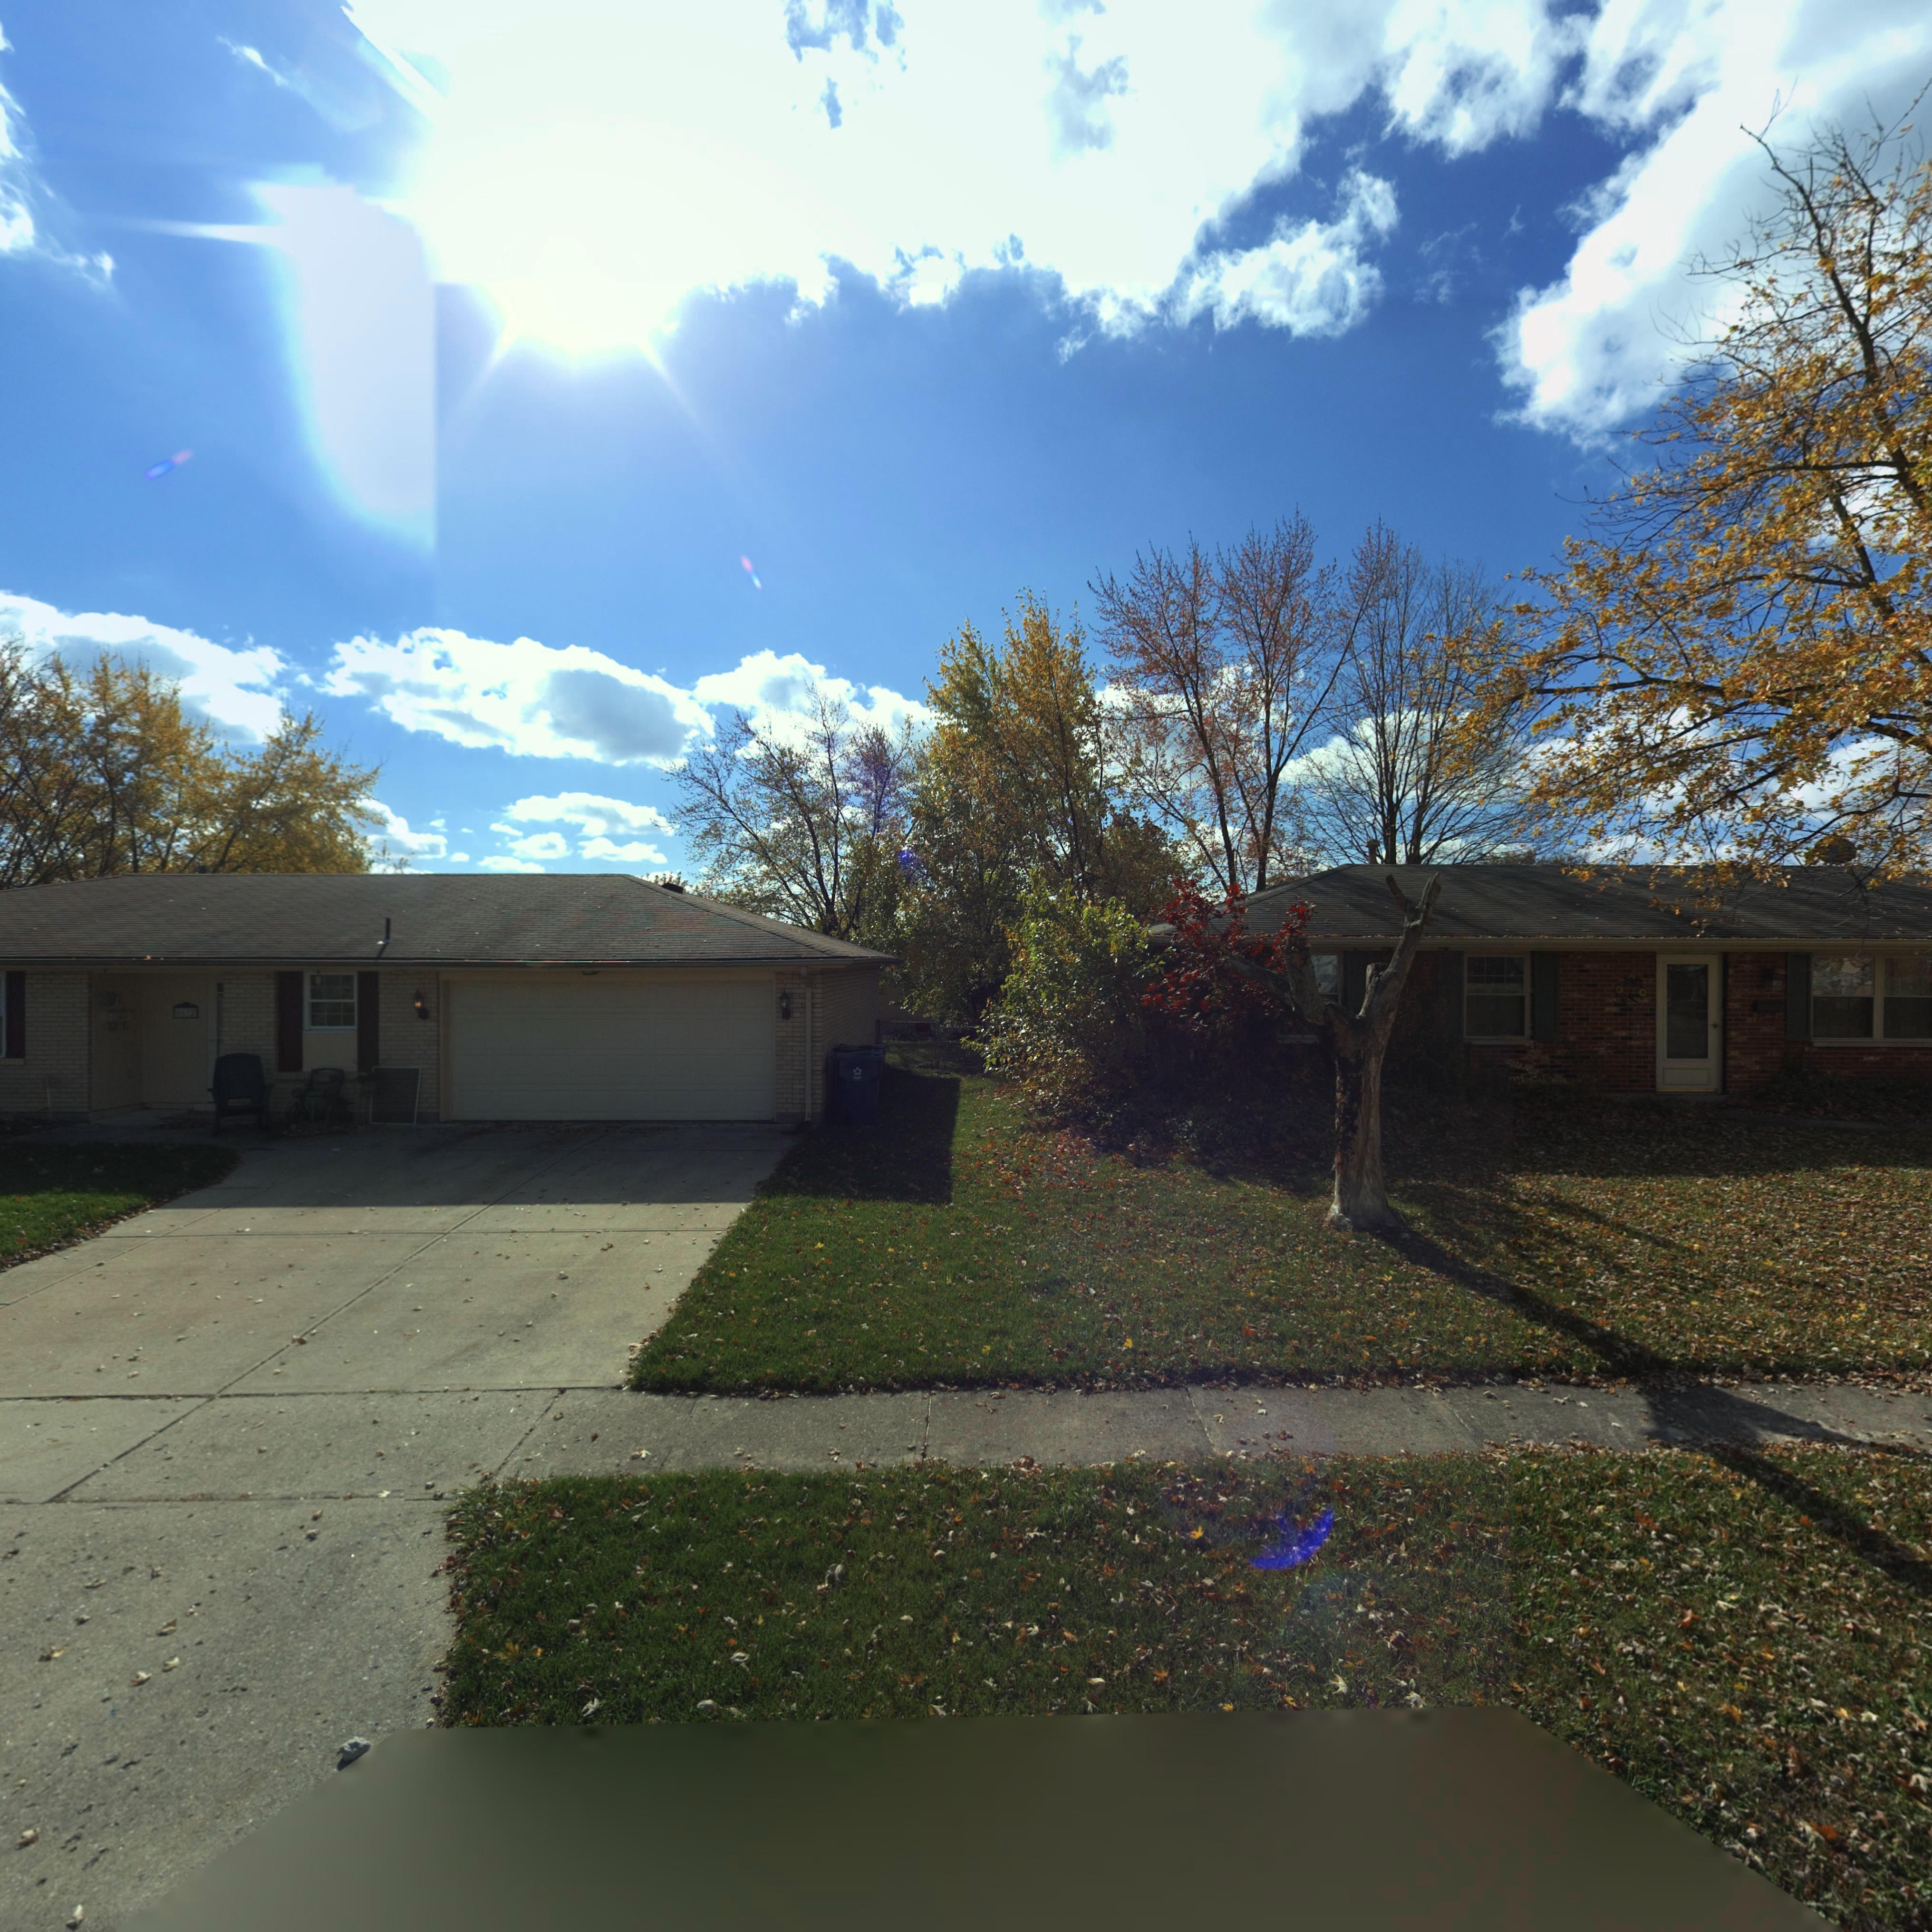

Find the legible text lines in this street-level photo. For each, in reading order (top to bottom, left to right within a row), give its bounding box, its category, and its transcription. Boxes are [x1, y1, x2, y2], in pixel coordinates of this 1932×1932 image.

[175, 1008, 195, 1016] StreetNumber: 66*2